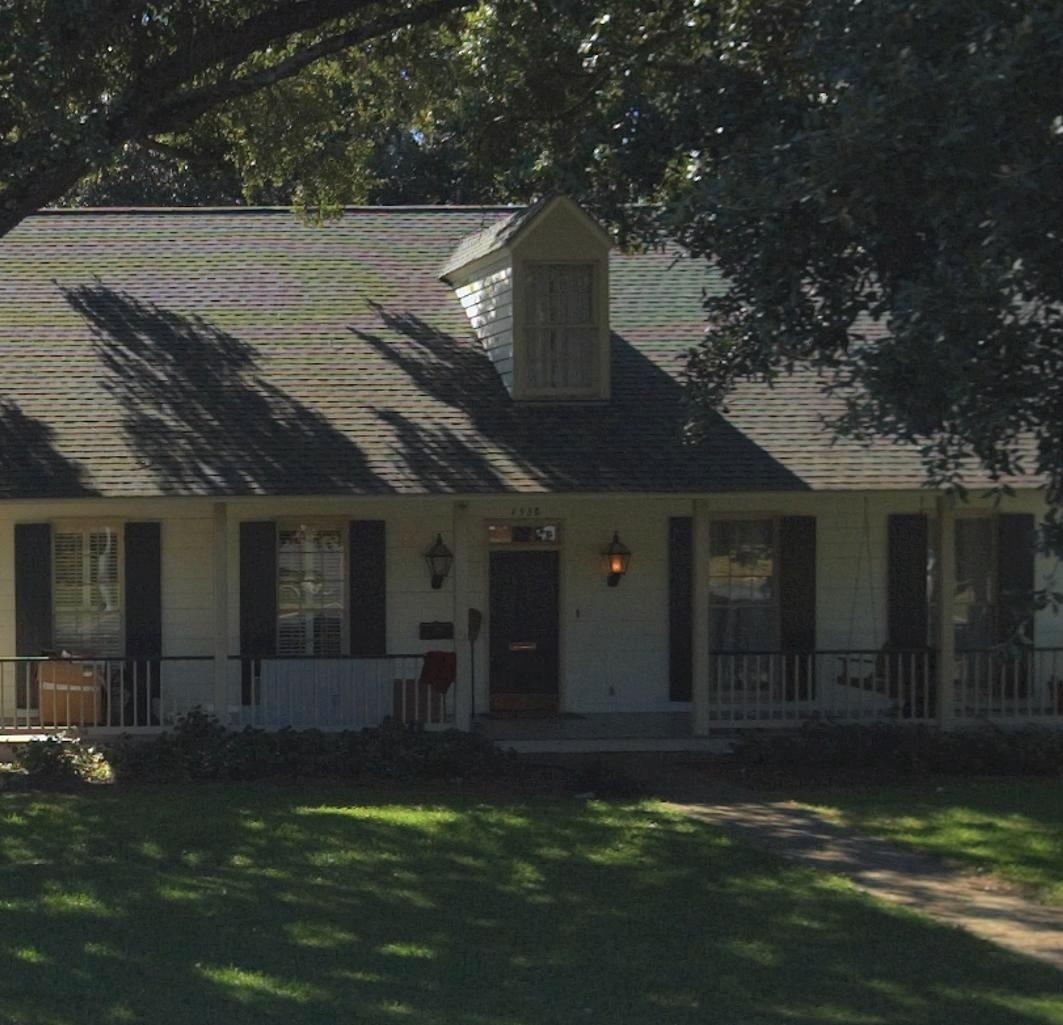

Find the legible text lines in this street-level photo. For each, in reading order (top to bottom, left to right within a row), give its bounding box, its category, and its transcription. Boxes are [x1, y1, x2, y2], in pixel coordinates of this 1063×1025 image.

[509, 505, 542, 518] StreetNumber: 155*